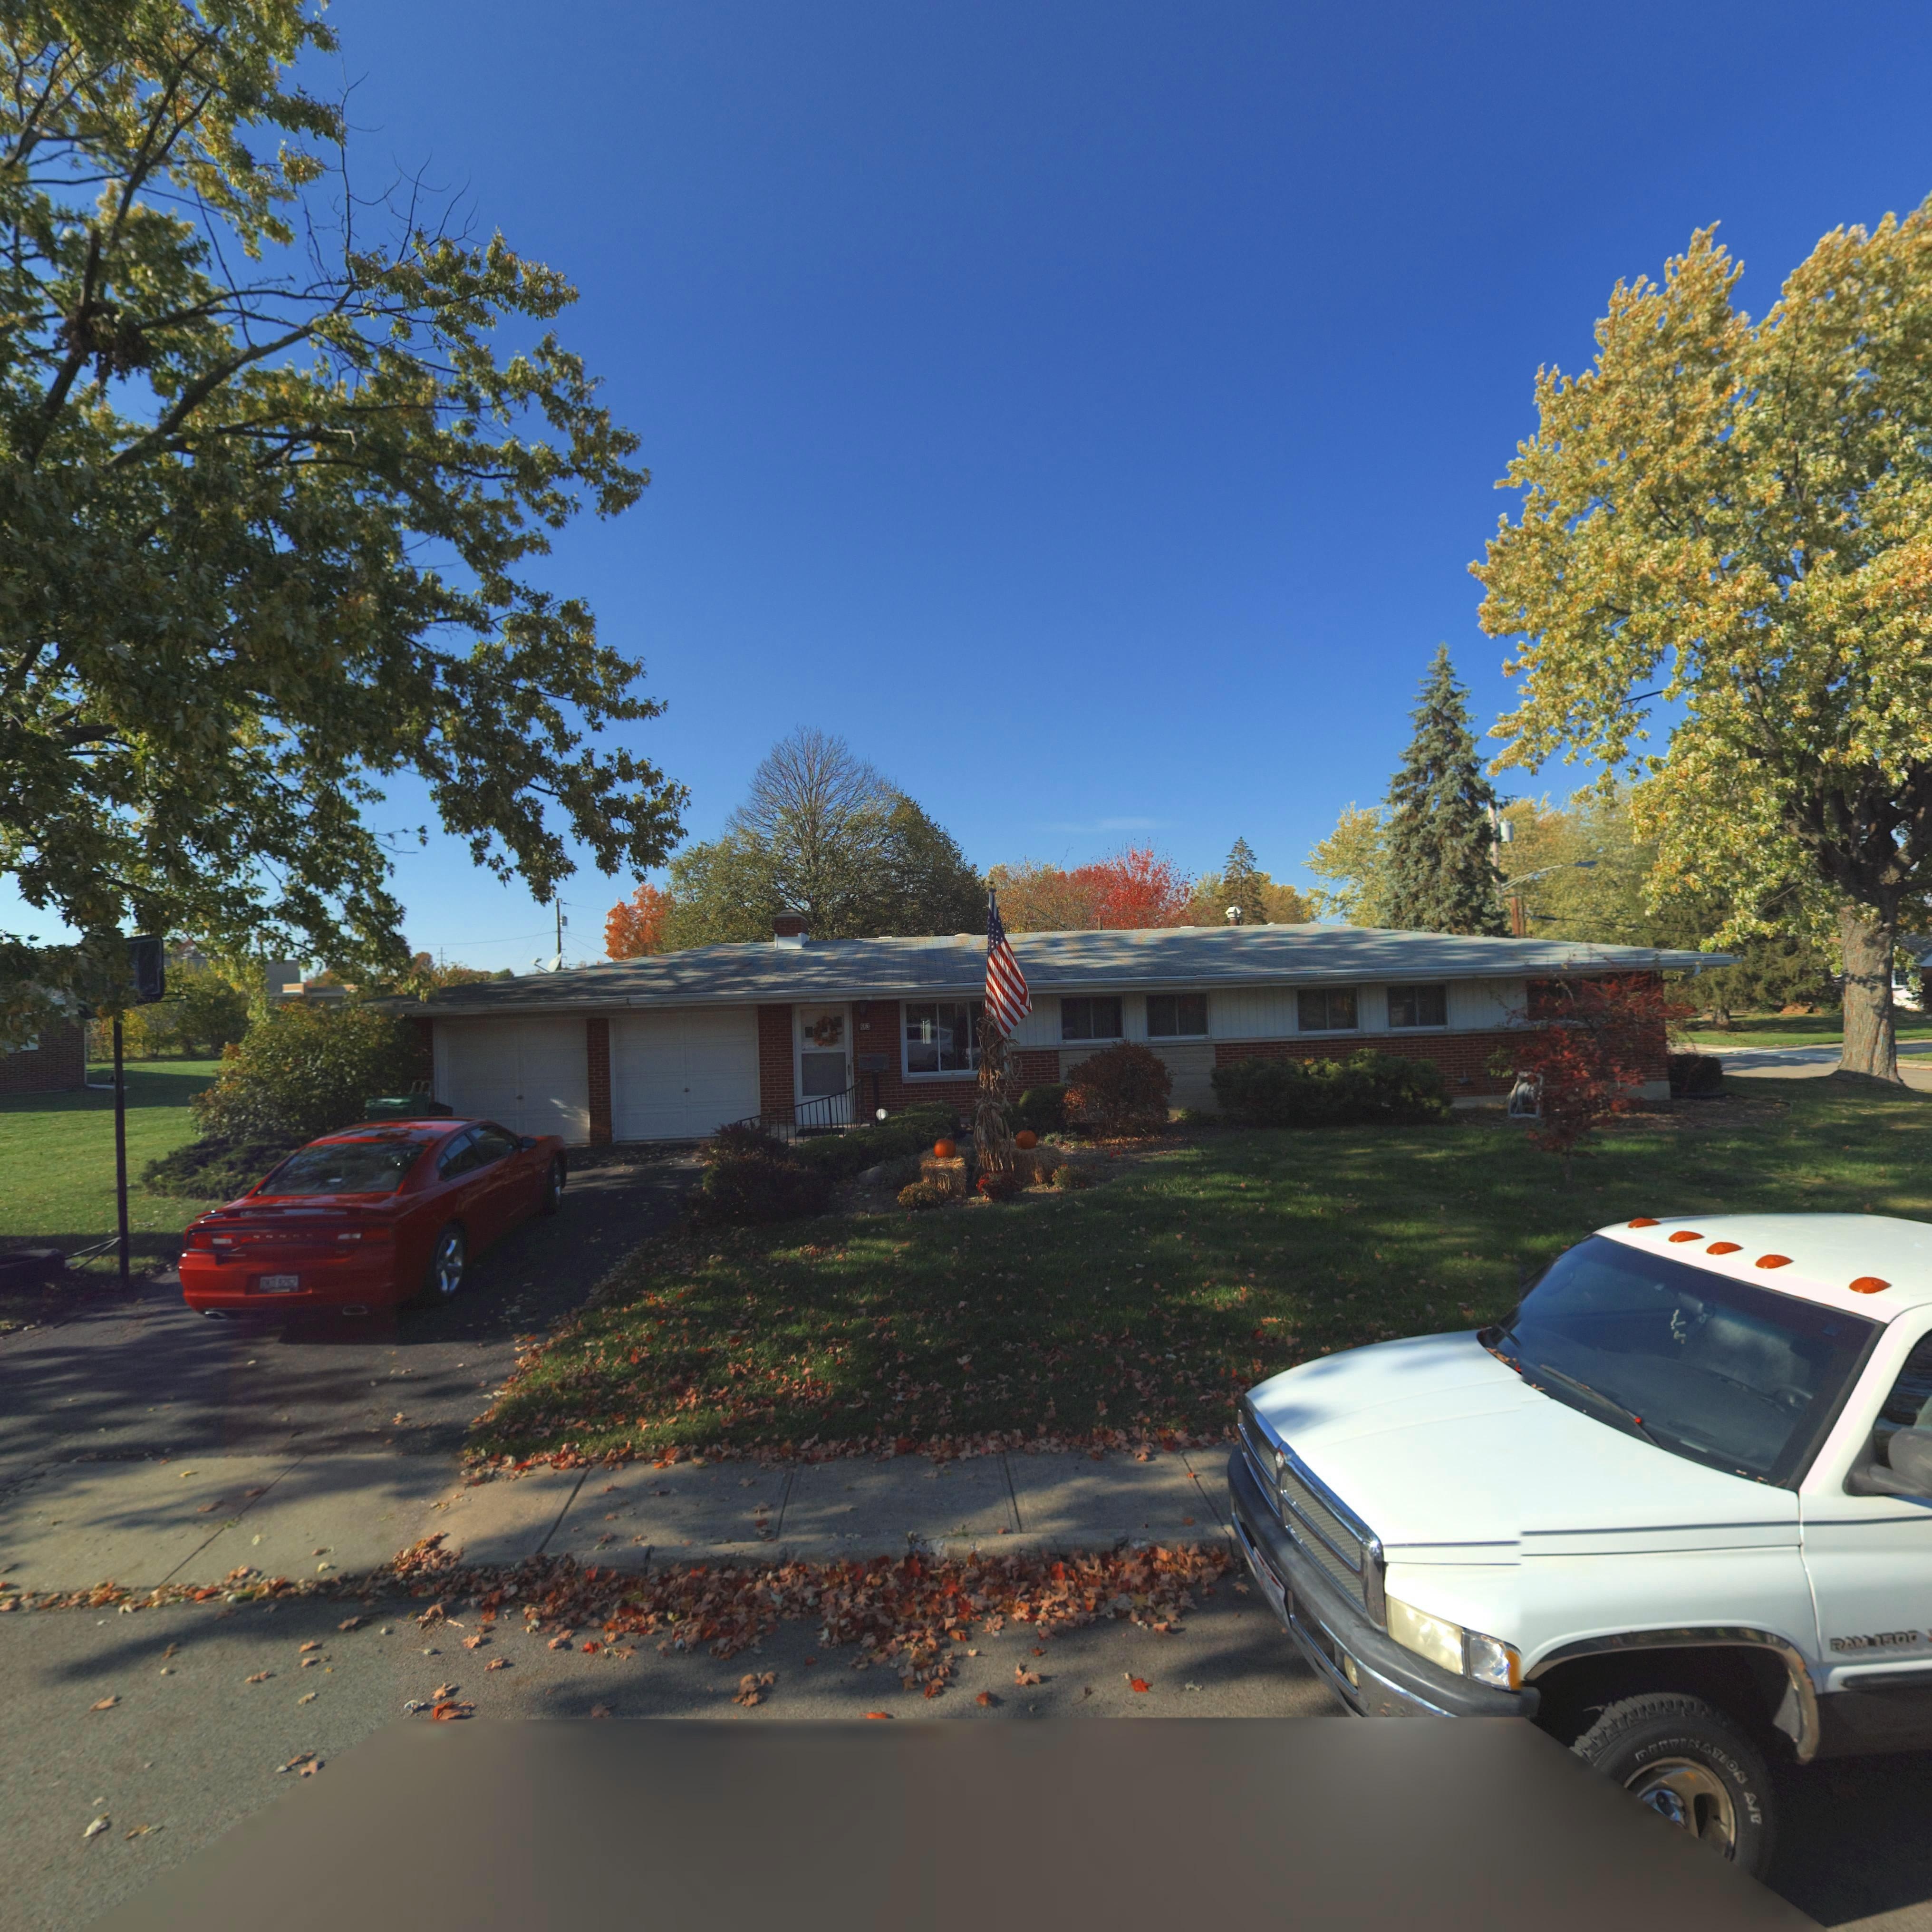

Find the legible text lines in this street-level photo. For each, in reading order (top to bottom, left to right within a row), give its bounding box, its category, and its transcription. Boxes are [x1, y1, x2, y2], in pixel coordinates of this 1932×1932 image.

[860, 1024, 870, 1029] StreetNumber: 663